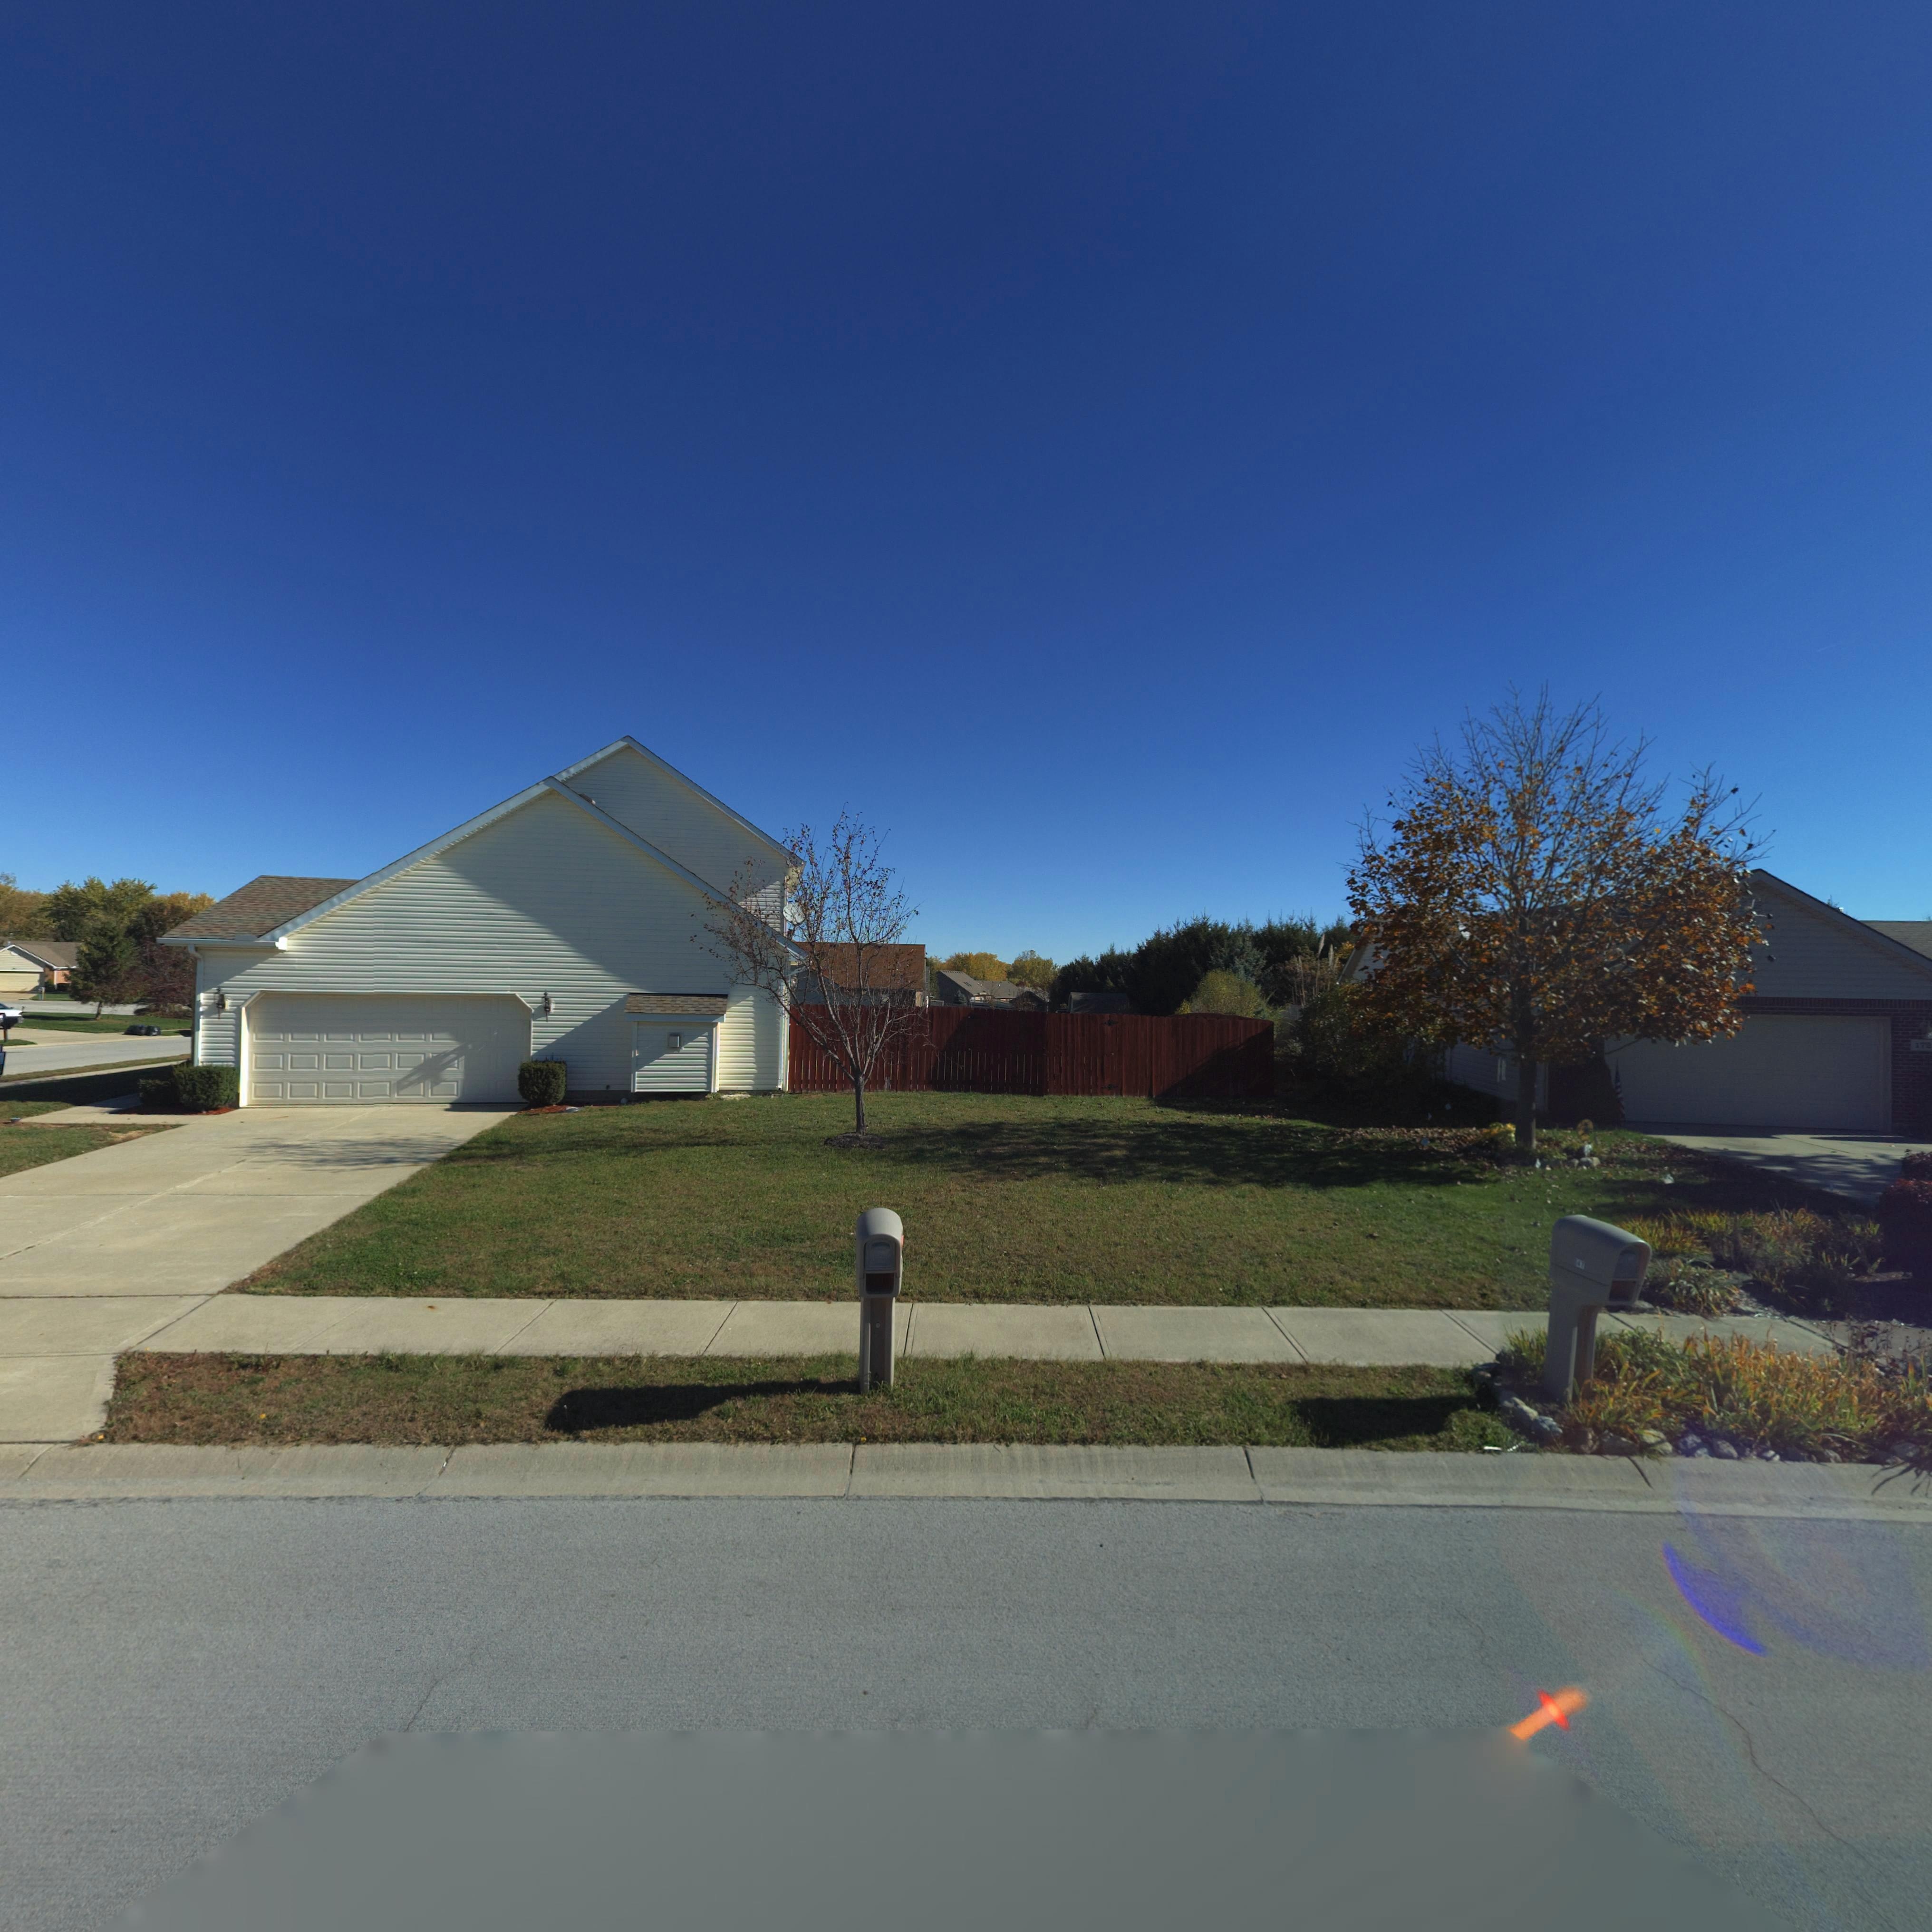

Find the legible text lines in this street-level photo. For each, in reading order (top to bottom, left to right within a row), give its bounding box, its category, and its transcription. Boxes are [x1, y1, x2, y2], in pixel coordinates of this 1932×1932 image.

[1914, 1042, 1932, 1049] StreetNumber: 172
[1577, 1259, 1586, 1269] StreetNumber: 47